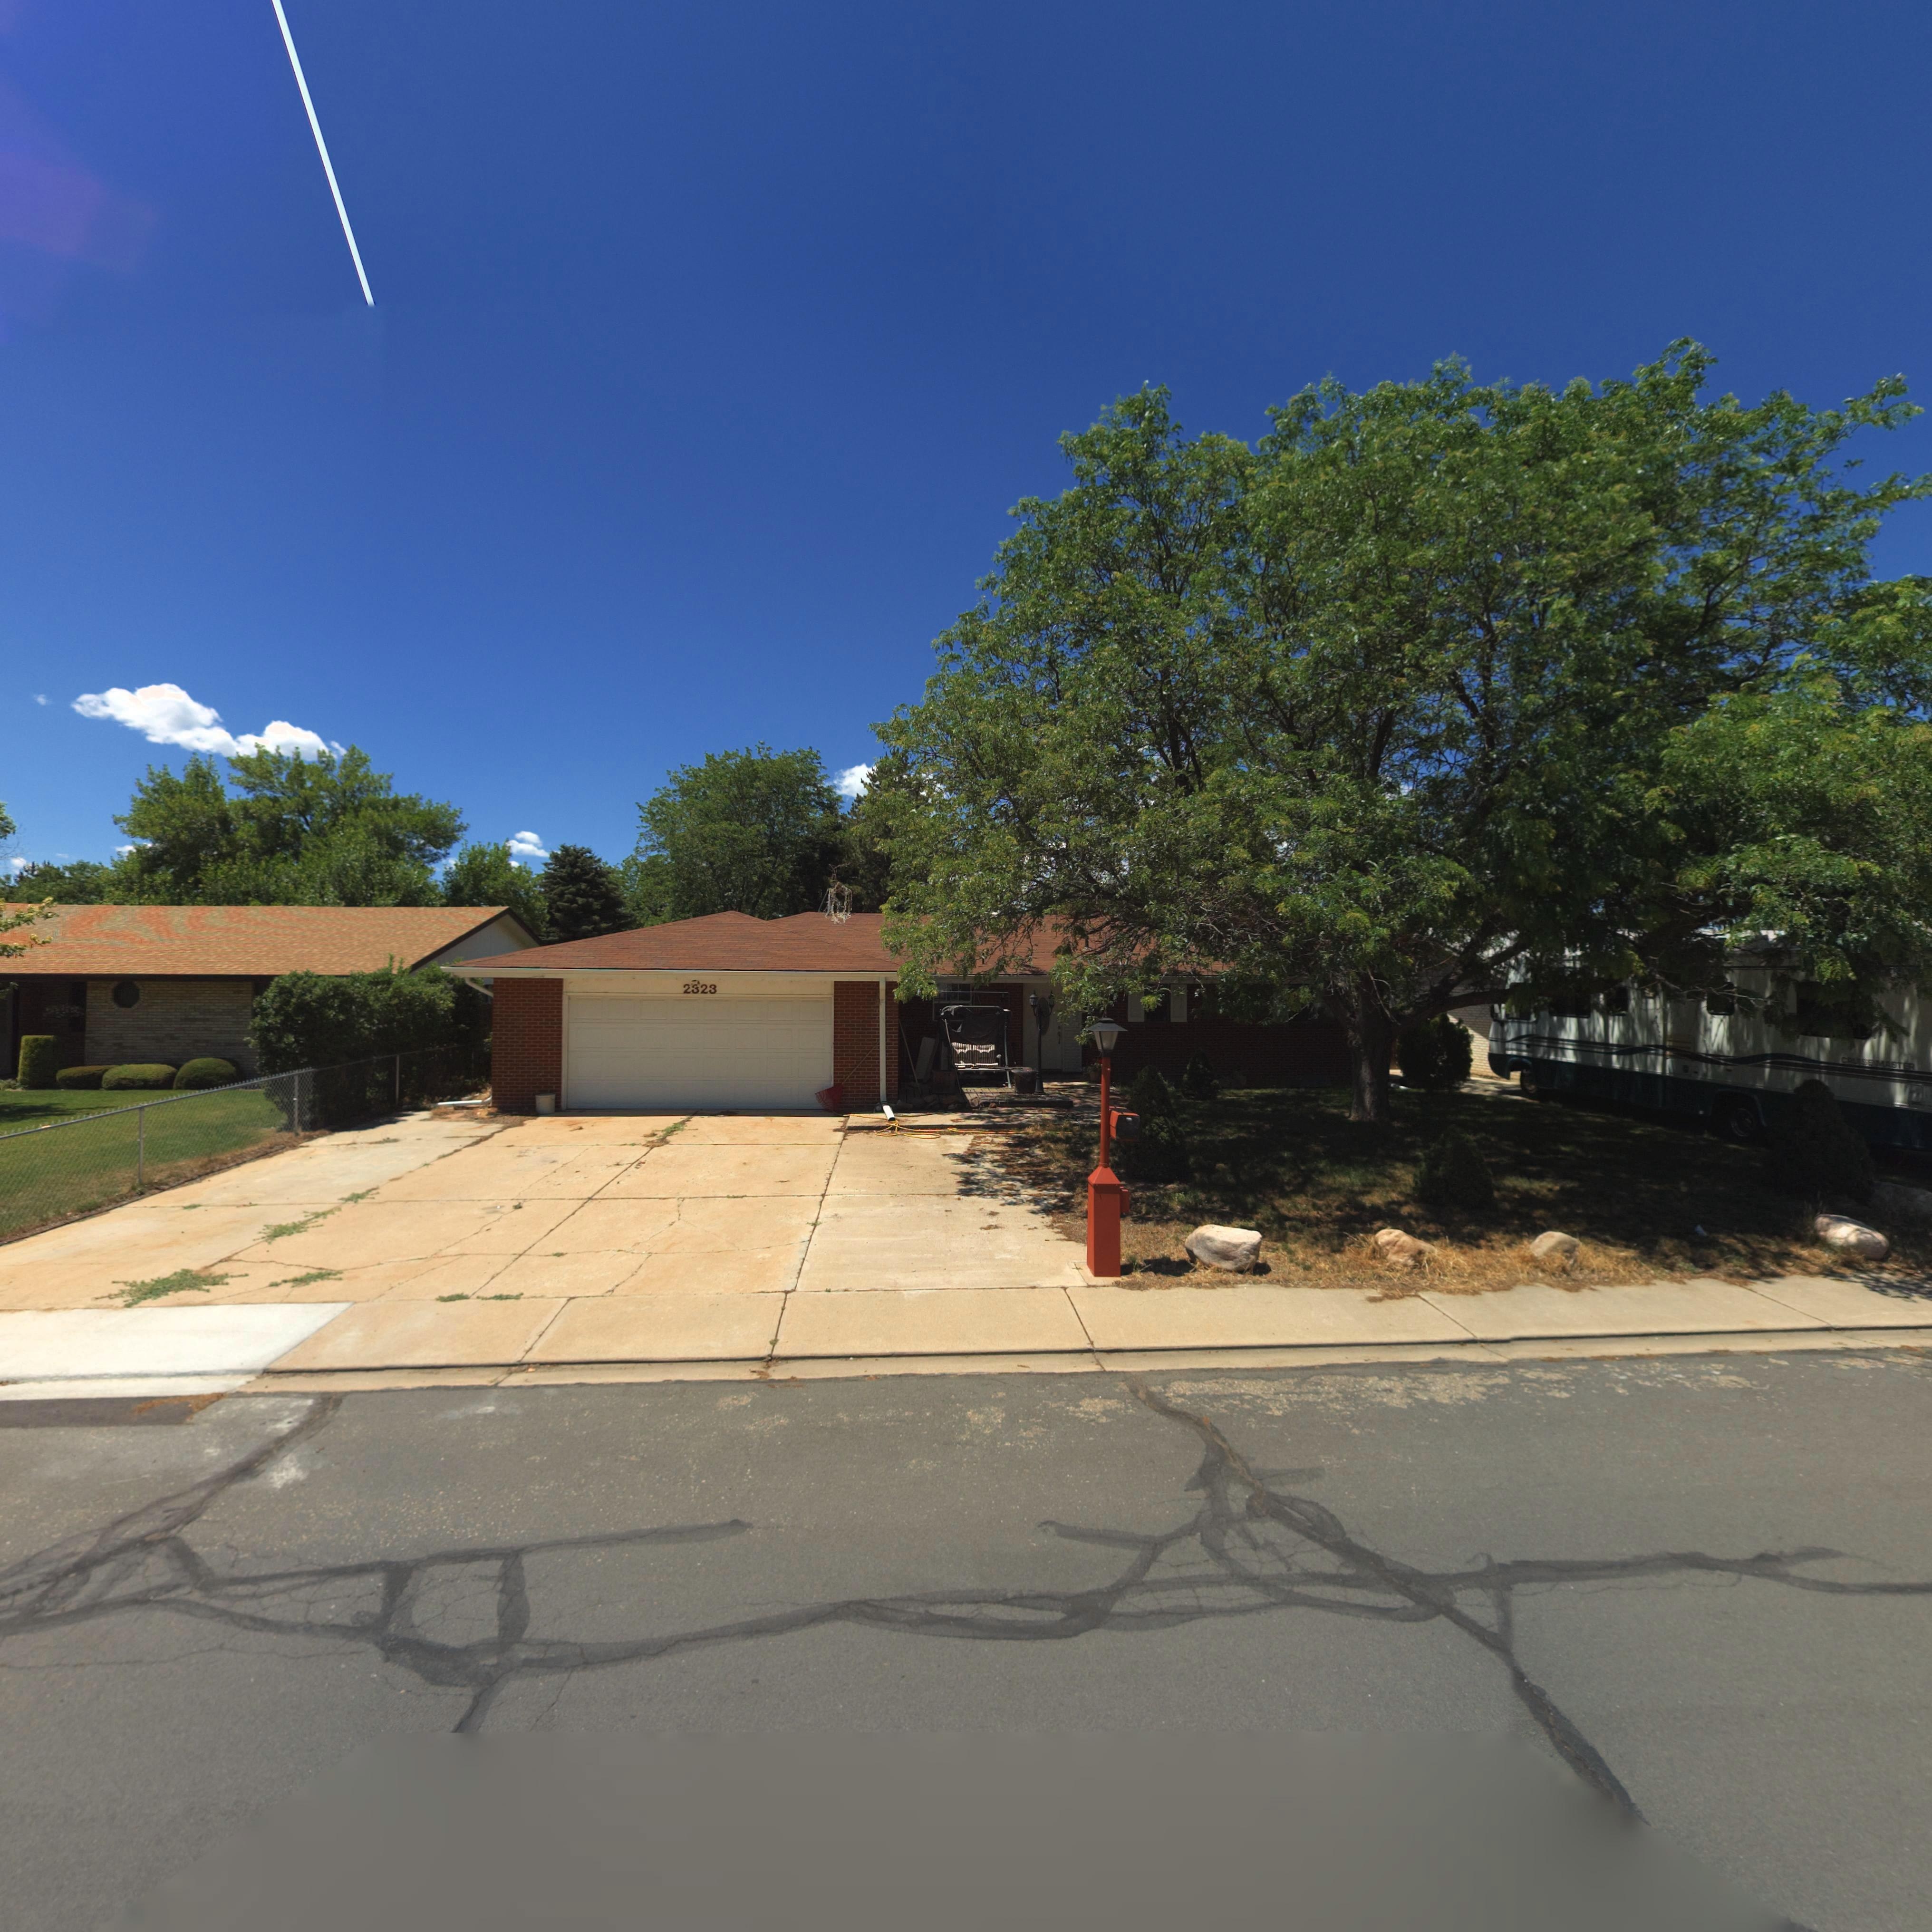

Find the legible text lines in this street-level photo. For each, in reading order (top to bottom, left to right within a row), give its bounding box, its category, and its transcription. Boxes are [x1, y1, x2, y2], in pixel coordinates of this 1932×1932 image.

[683, 983, 717, 994] StreetNumber: 2323